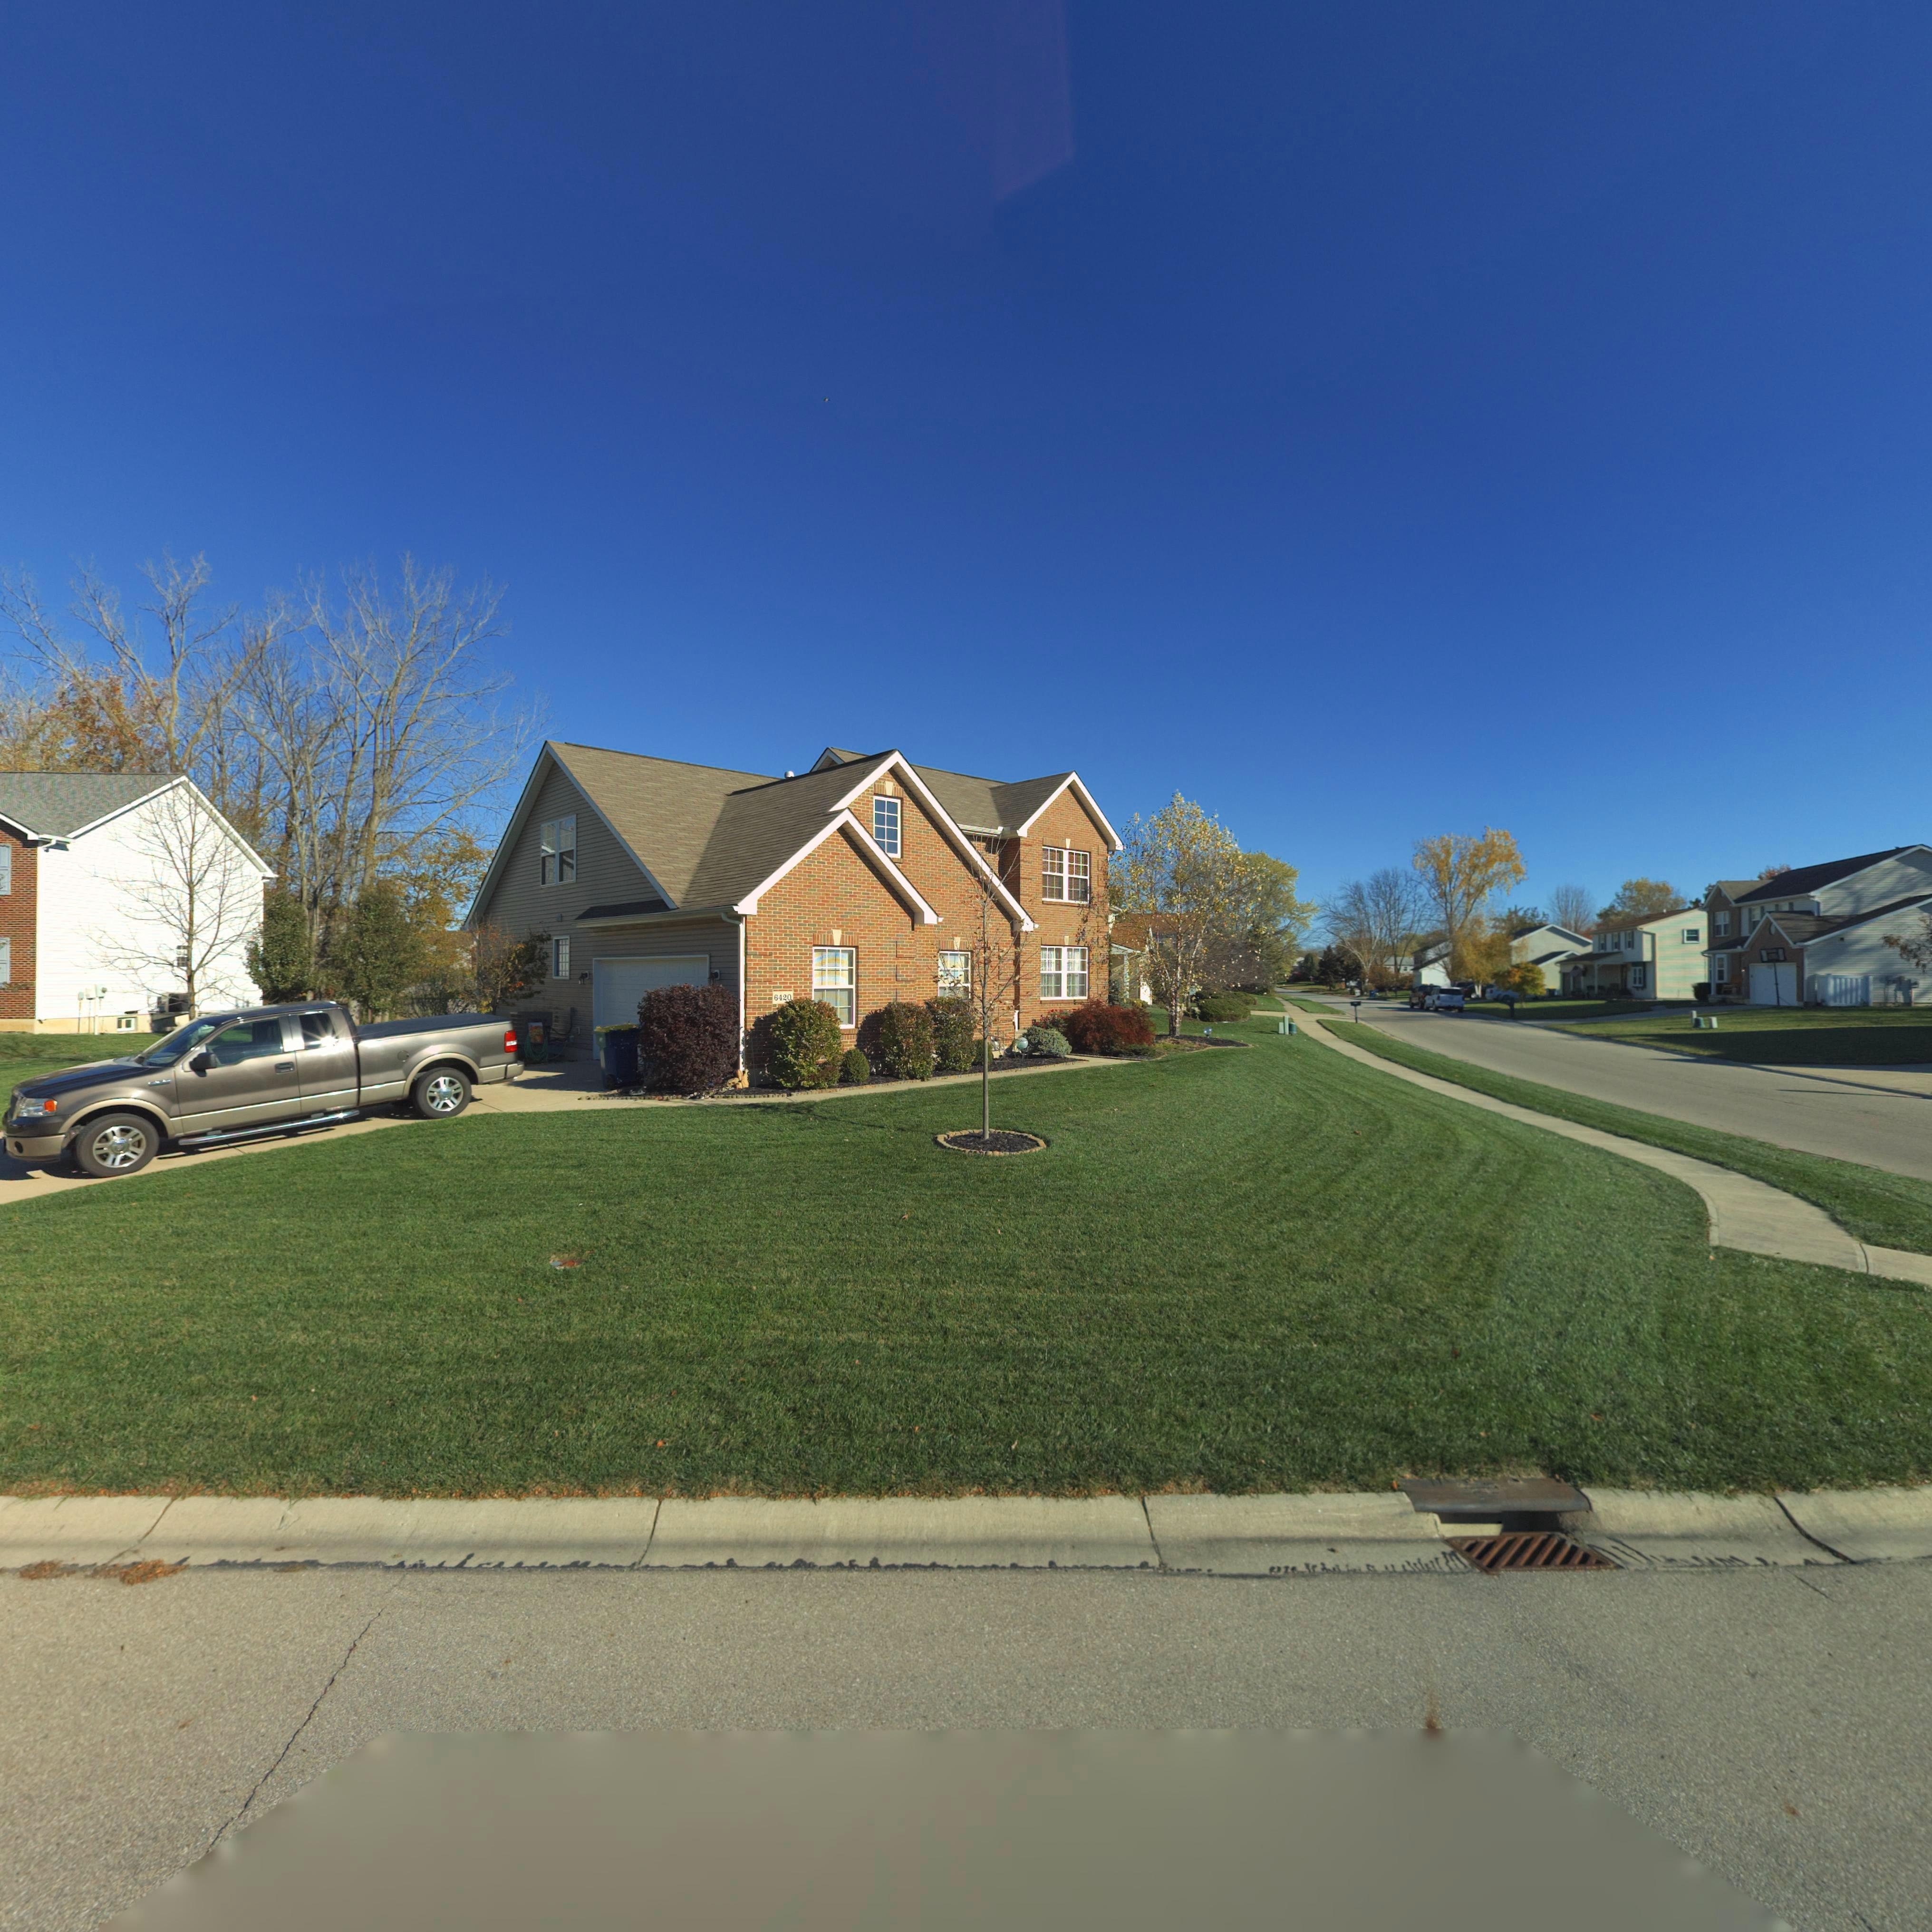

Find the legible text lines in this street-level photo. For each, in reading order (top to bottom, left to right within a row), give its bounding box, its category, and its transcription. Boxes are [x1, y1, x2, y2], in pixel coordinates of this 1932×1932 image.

[773, 993, 792, 1002] StreetNumber: 6420